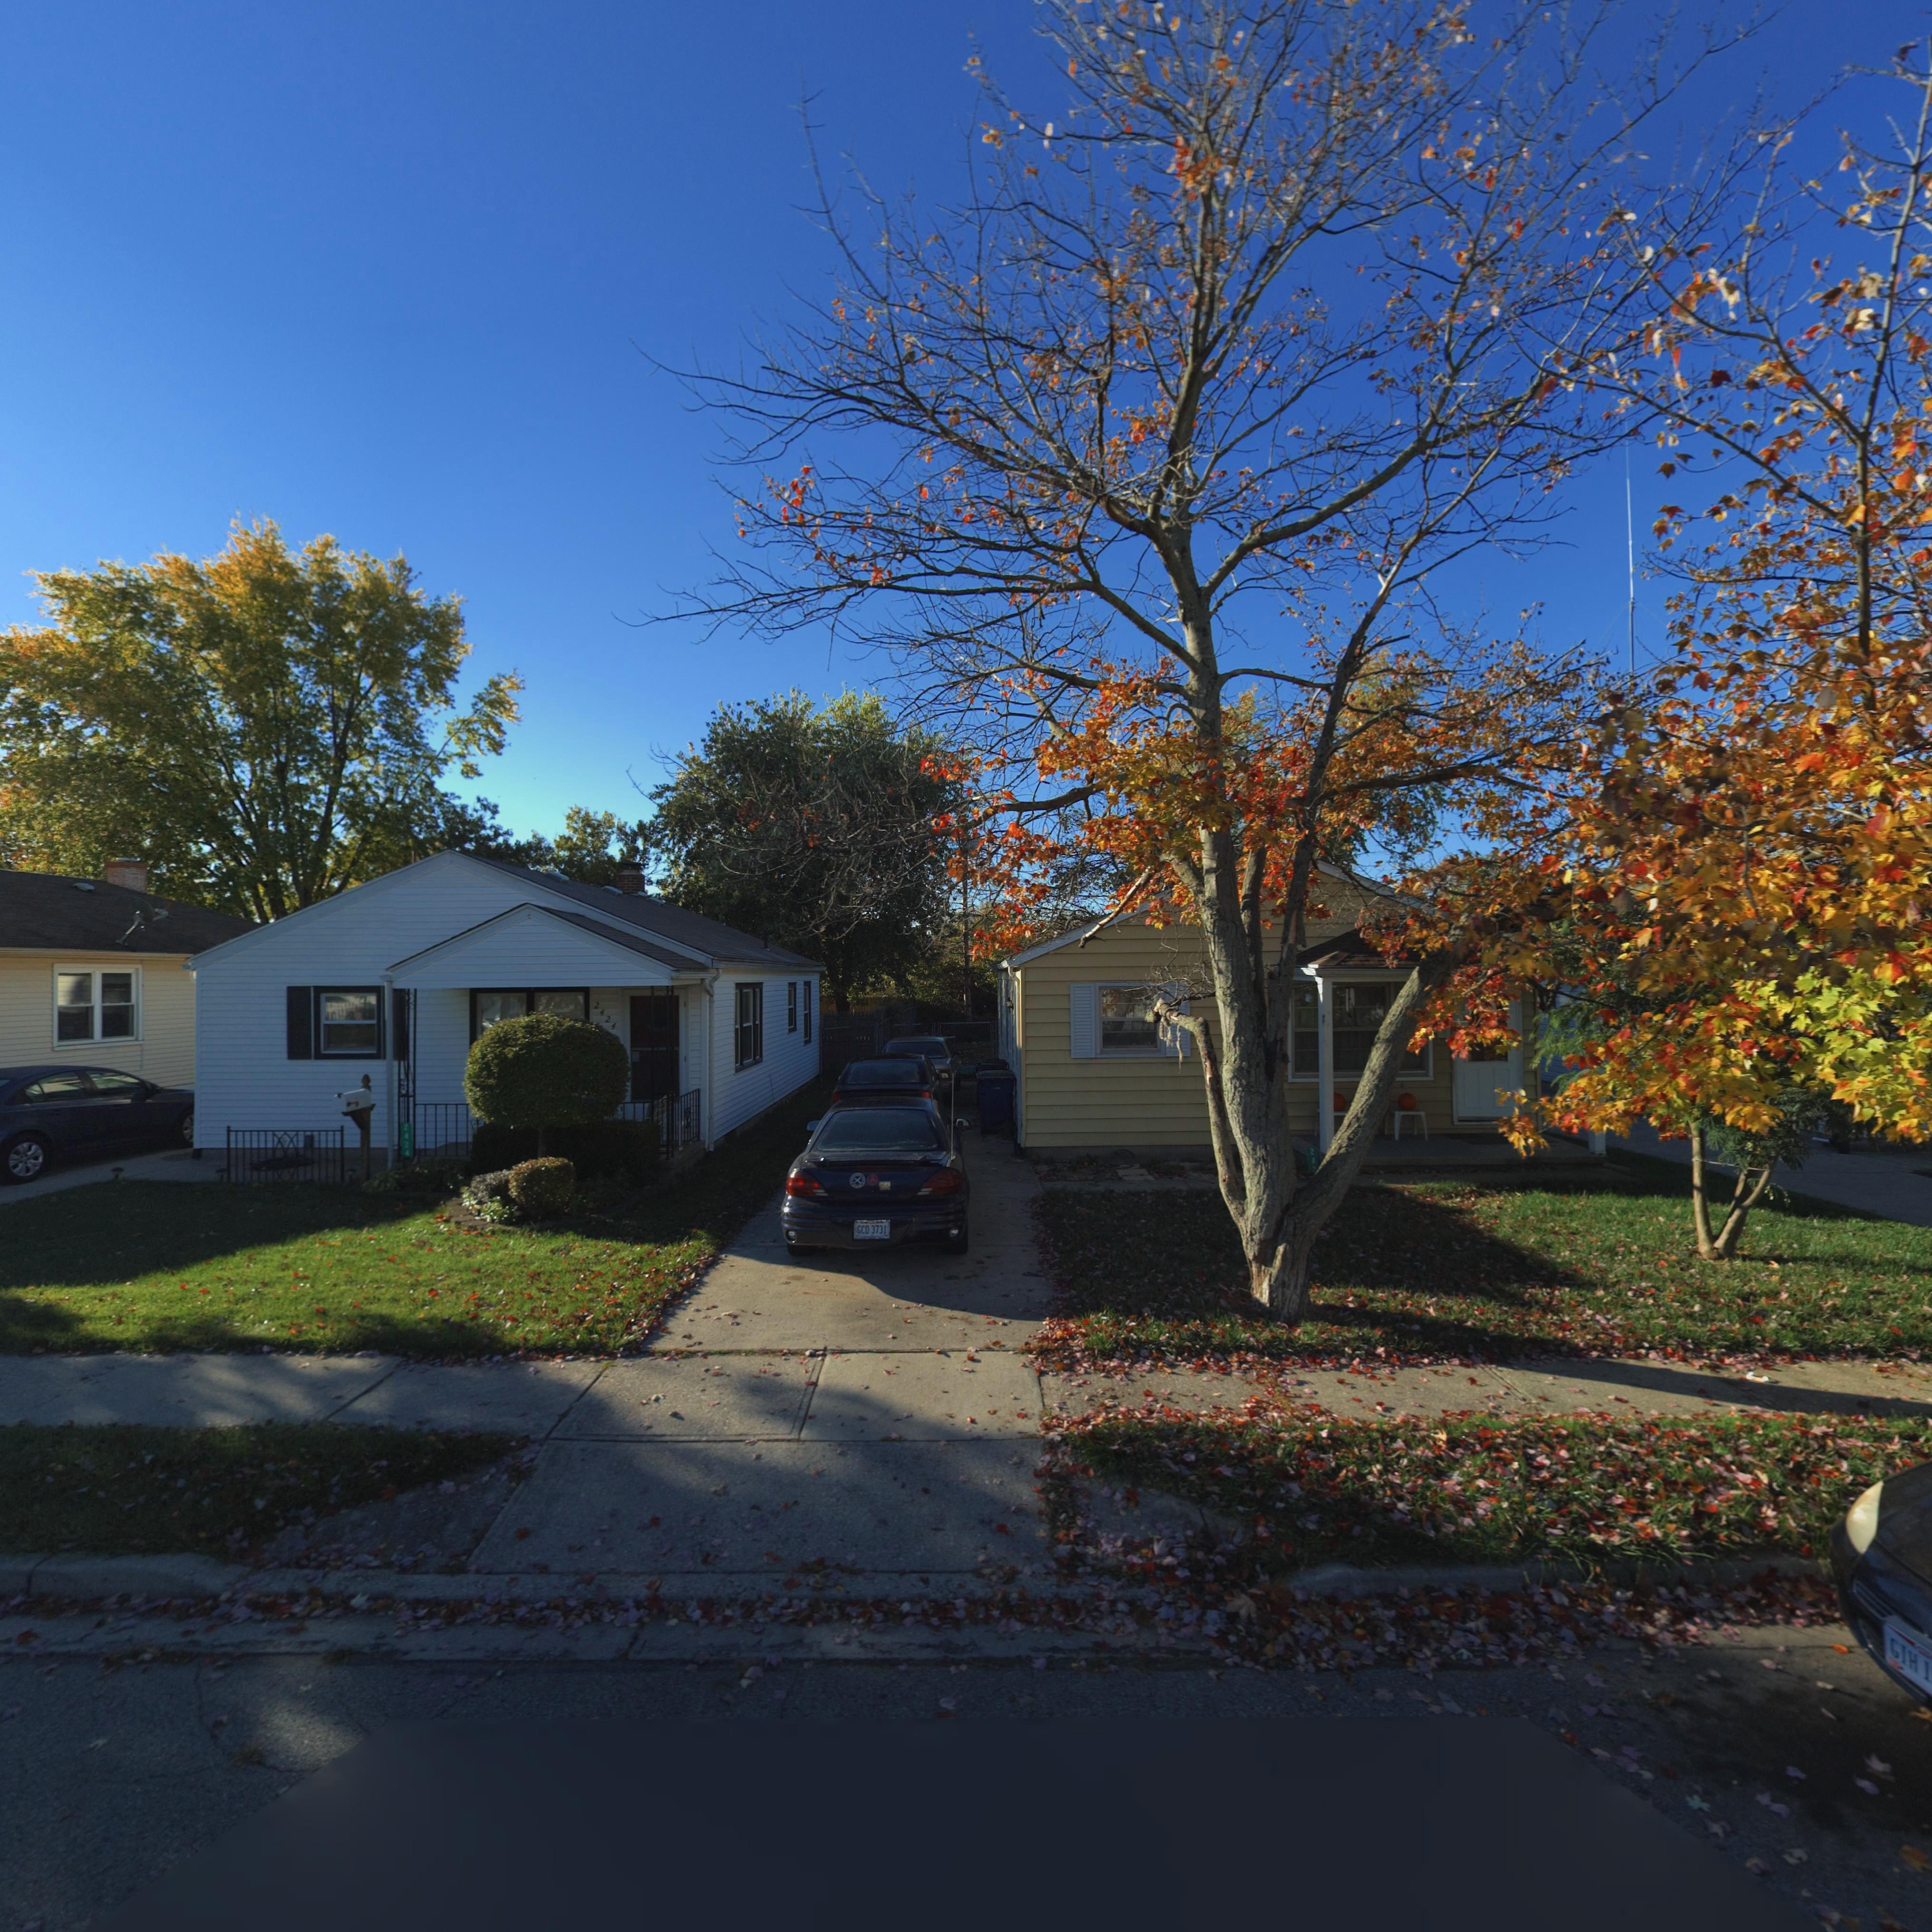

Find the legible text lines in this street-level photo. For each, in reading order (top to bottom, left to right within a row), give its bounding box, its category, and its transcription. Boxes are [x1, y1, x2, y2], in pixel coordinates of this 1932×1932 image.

[593, 1001, 617, 1030] StreetNumber: 2424
[403, 1122, 409, 1156] StreetNumber: 2424